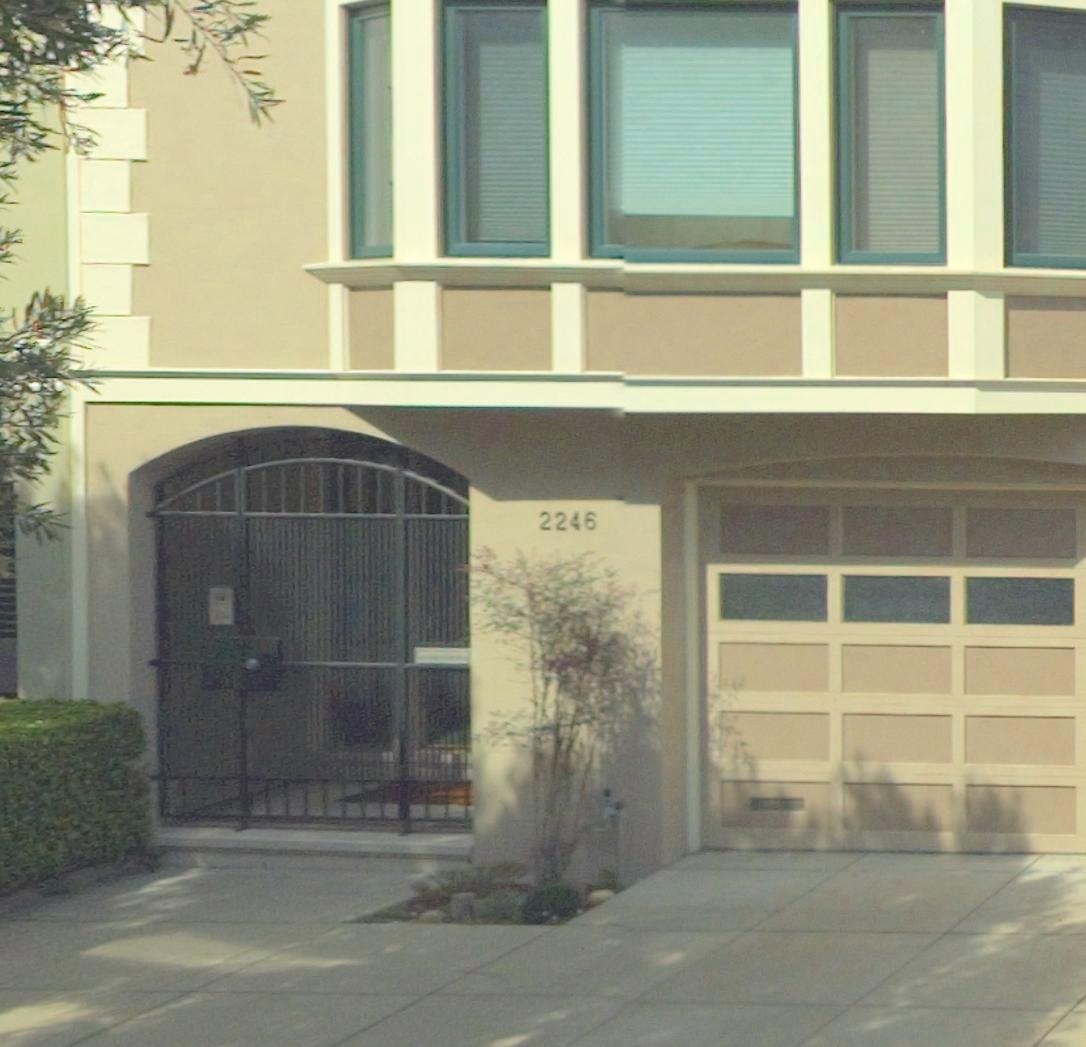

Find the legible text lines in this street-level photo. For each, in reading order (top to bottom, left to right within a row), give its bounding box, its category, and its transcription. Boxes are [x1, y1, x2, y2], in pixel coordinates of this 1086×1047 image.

[537, 509, 599, 533] StreetNumber: 2246